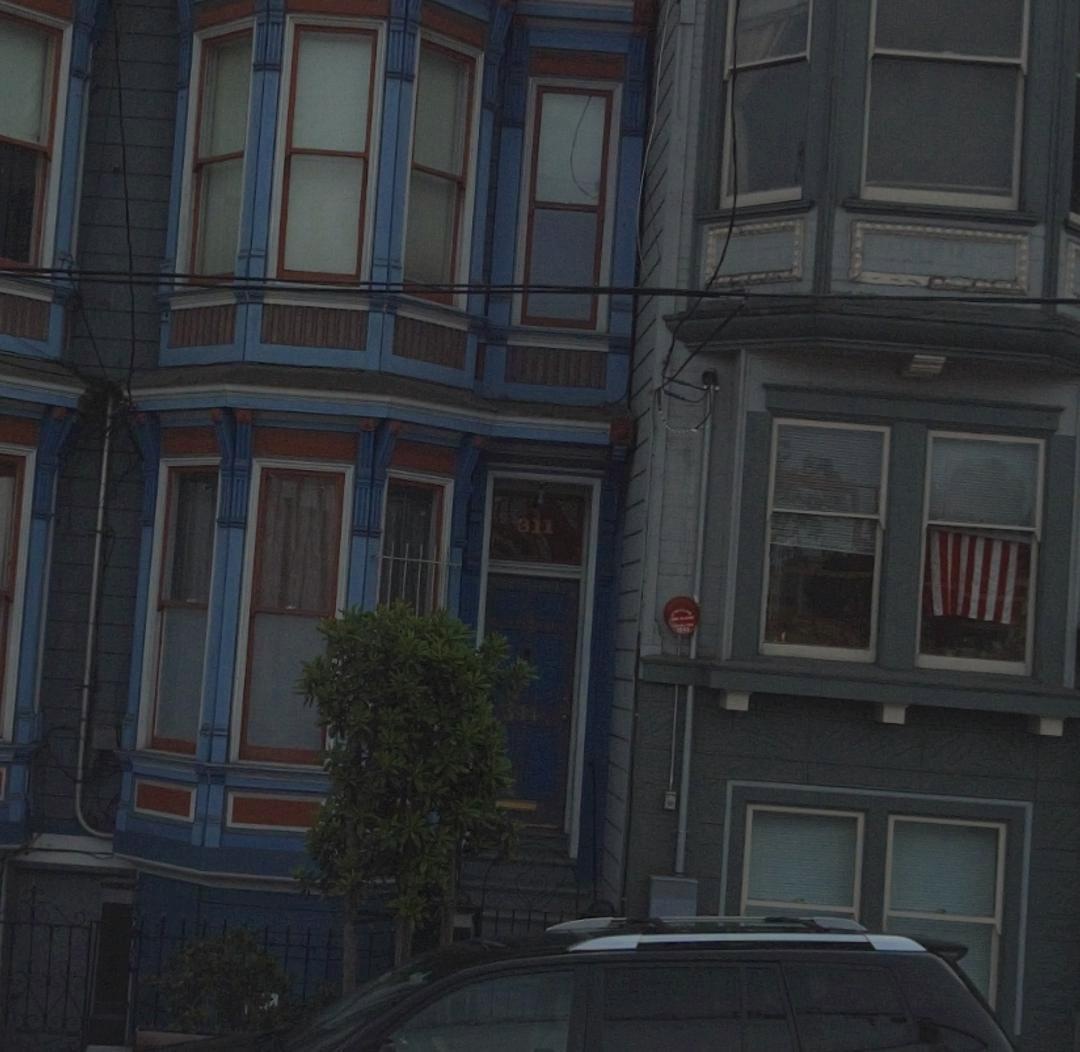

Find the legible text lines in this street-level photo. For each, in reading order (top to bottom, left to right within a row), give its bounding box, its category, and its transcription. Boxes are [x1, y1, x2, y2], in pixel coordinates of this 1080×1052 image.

[513, 516, 556, 537] StreetNumber: 311